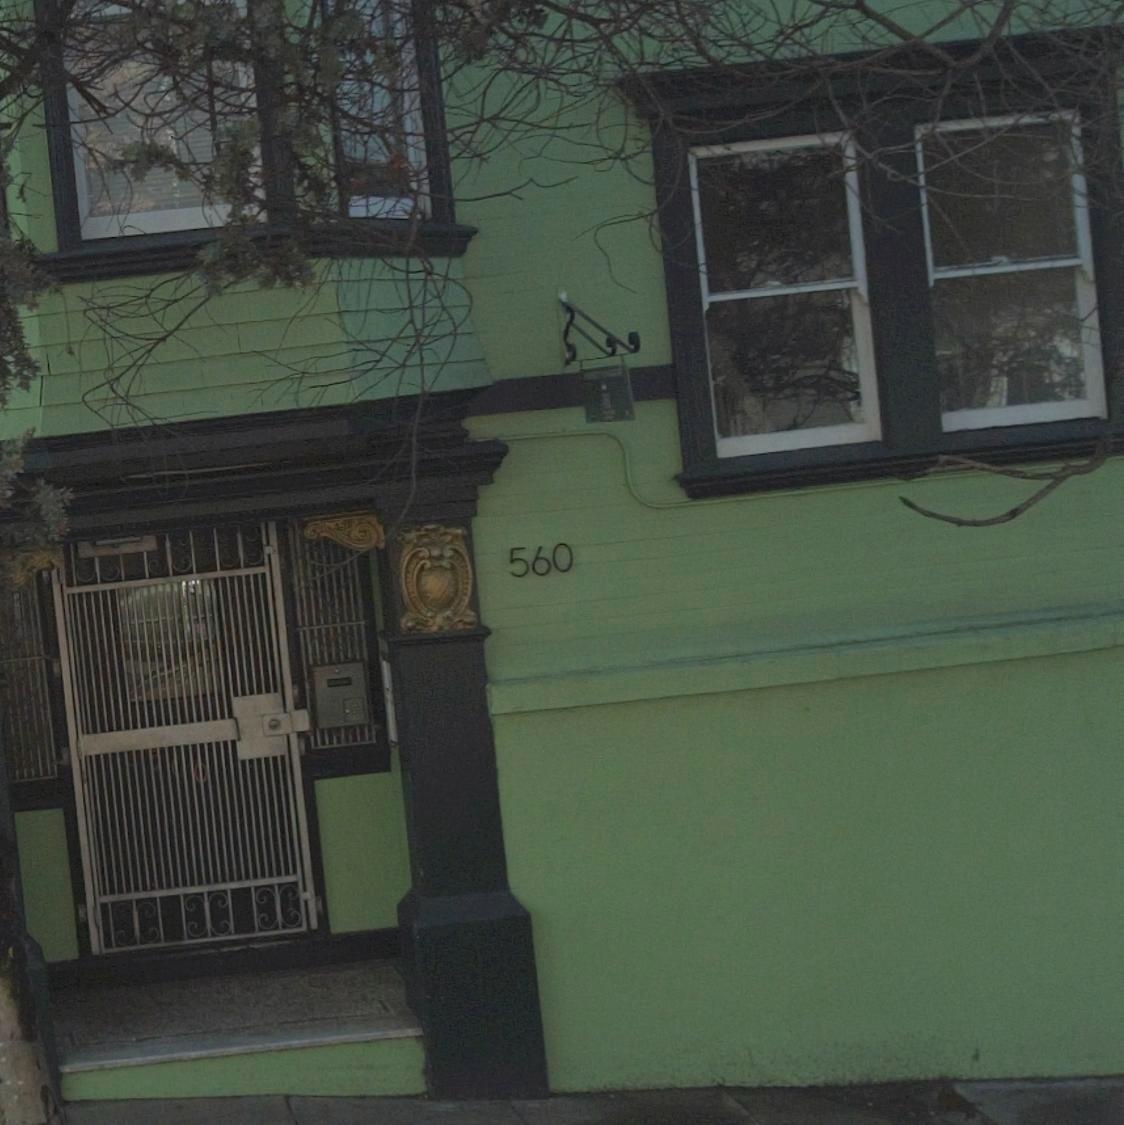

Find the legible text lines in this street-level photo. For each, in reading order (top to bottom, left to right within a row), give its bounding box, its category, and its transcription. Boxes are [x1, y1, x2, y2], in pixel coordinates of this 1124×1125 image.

[506, 538, 576, 581] StreetNumber: 560